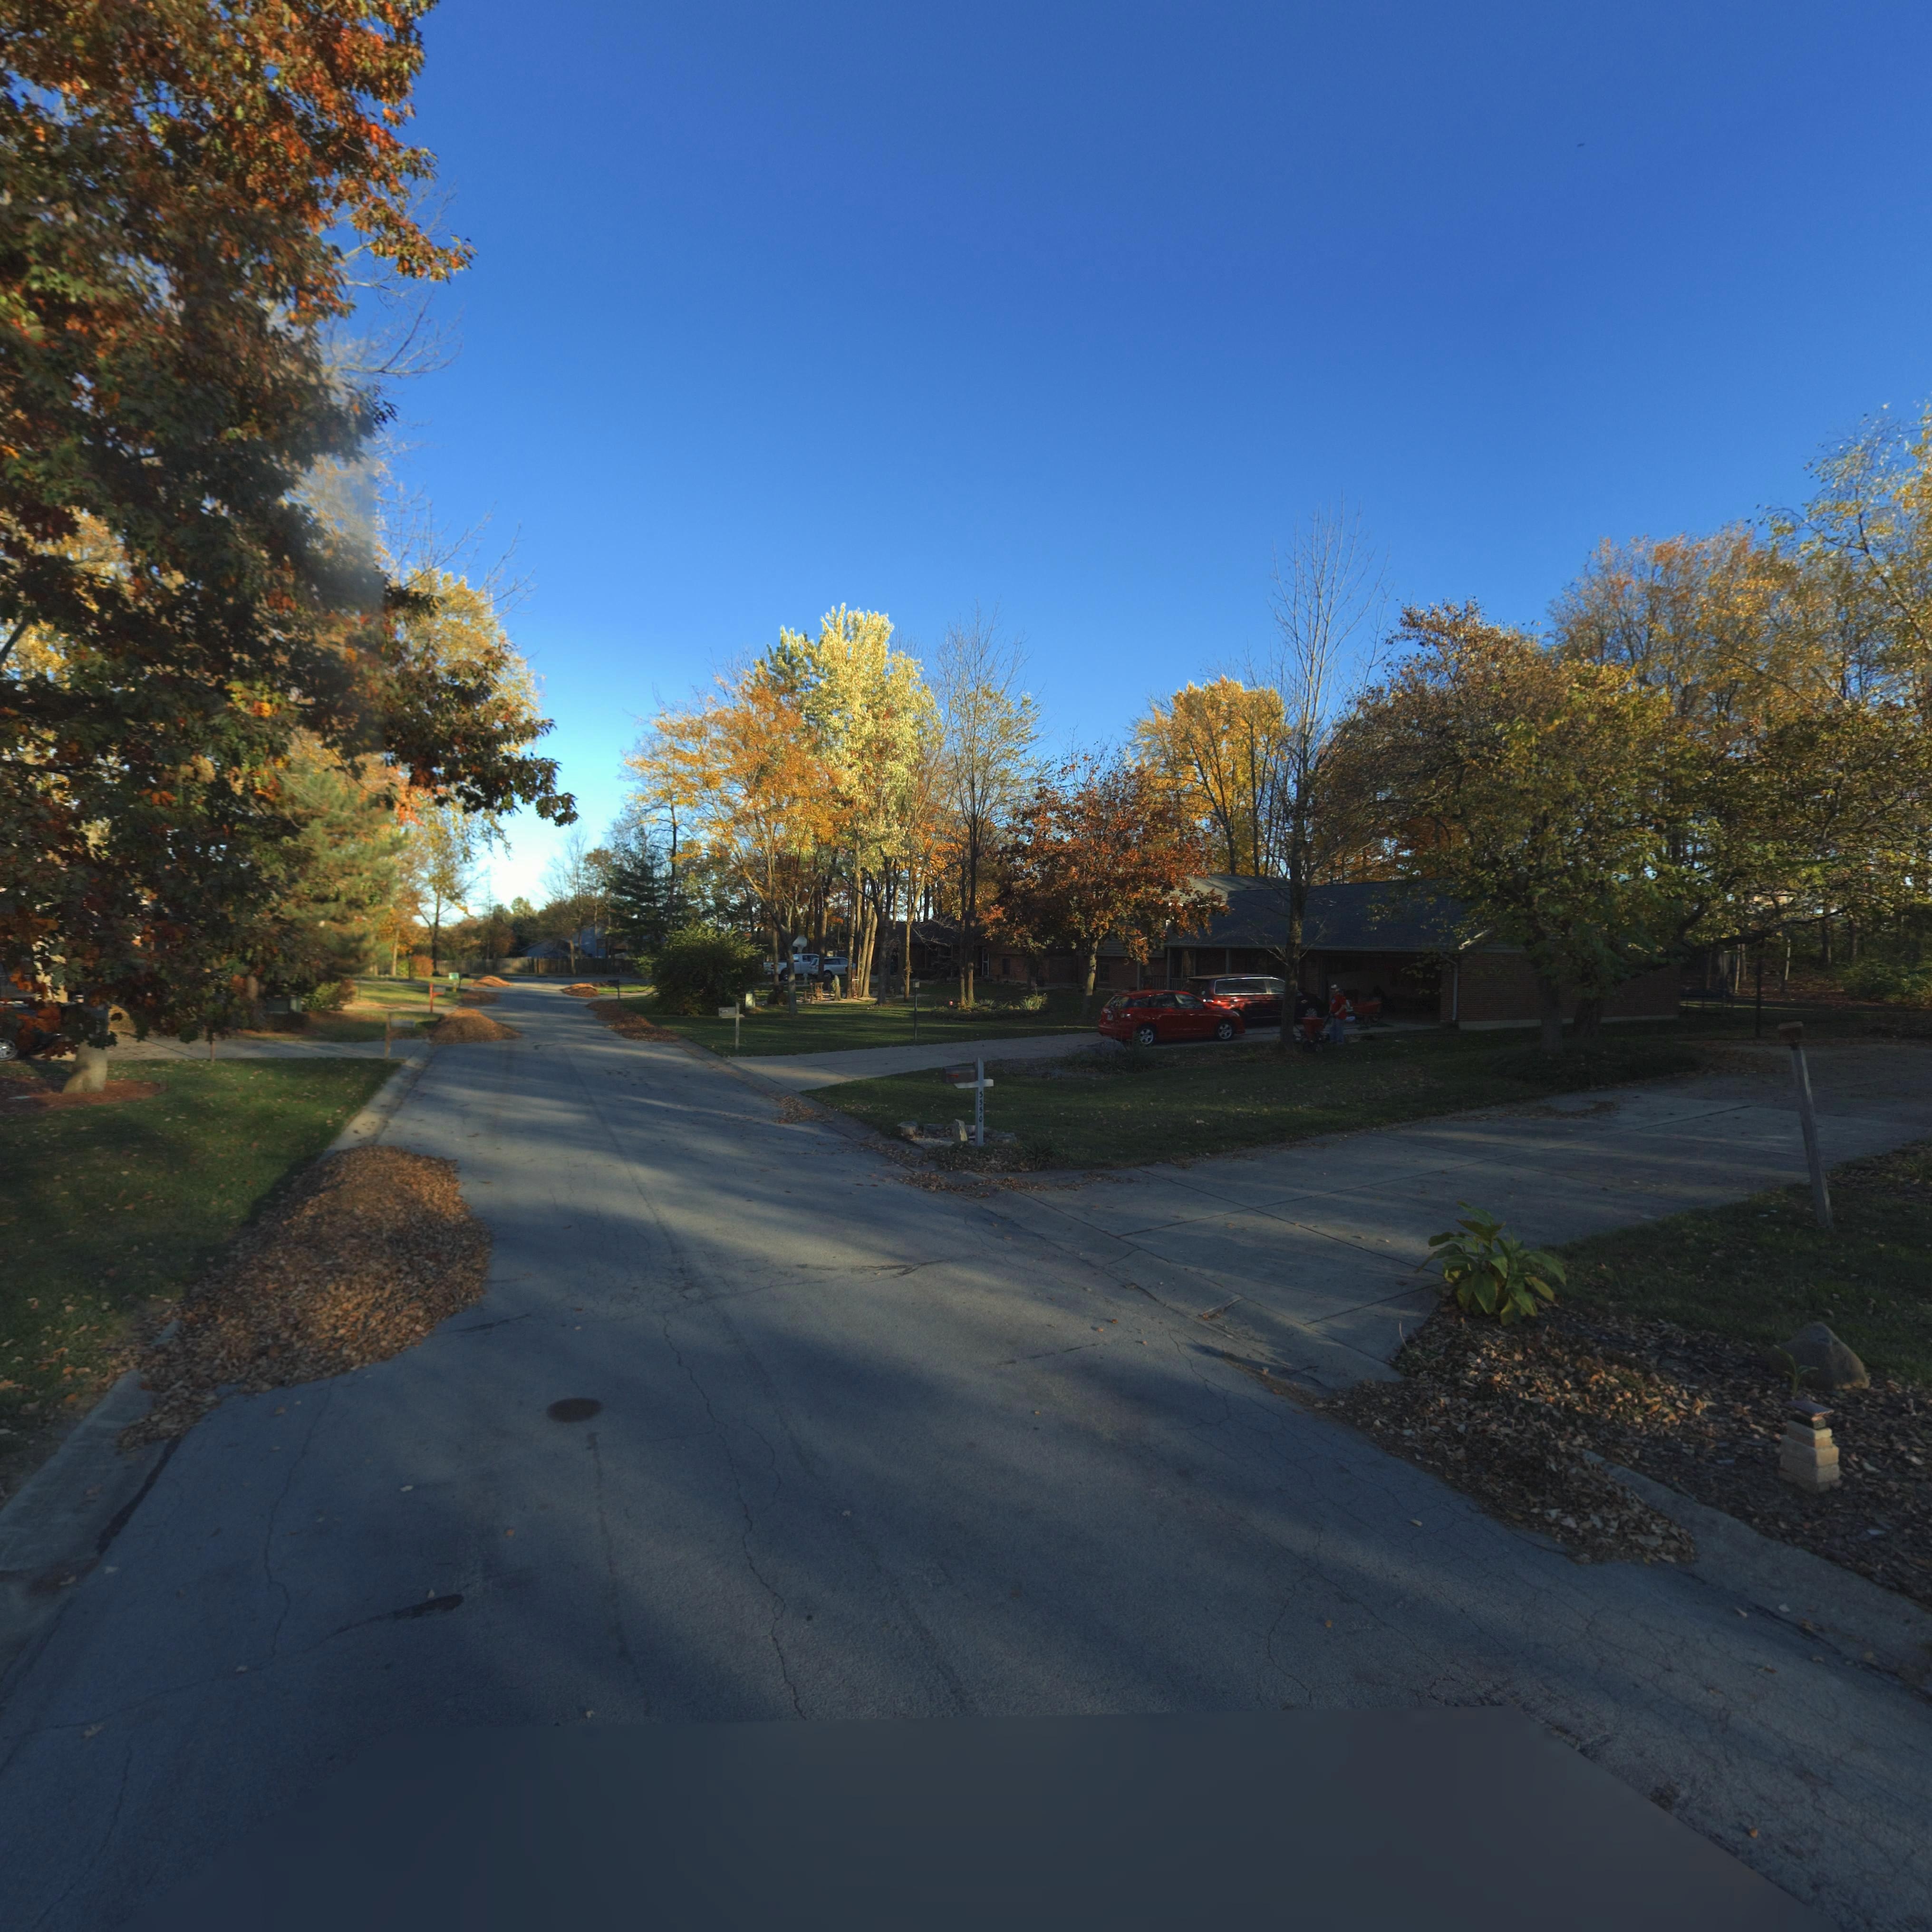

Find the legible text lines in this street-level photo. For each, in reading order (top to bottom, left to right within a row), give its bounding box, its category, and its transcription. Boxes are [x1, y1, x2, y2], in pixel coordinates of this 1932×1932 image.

[735, 1025, 740, 1039] StreetNumber: 56
[978, 1091, 983, 1123] StreetNumber: 3550